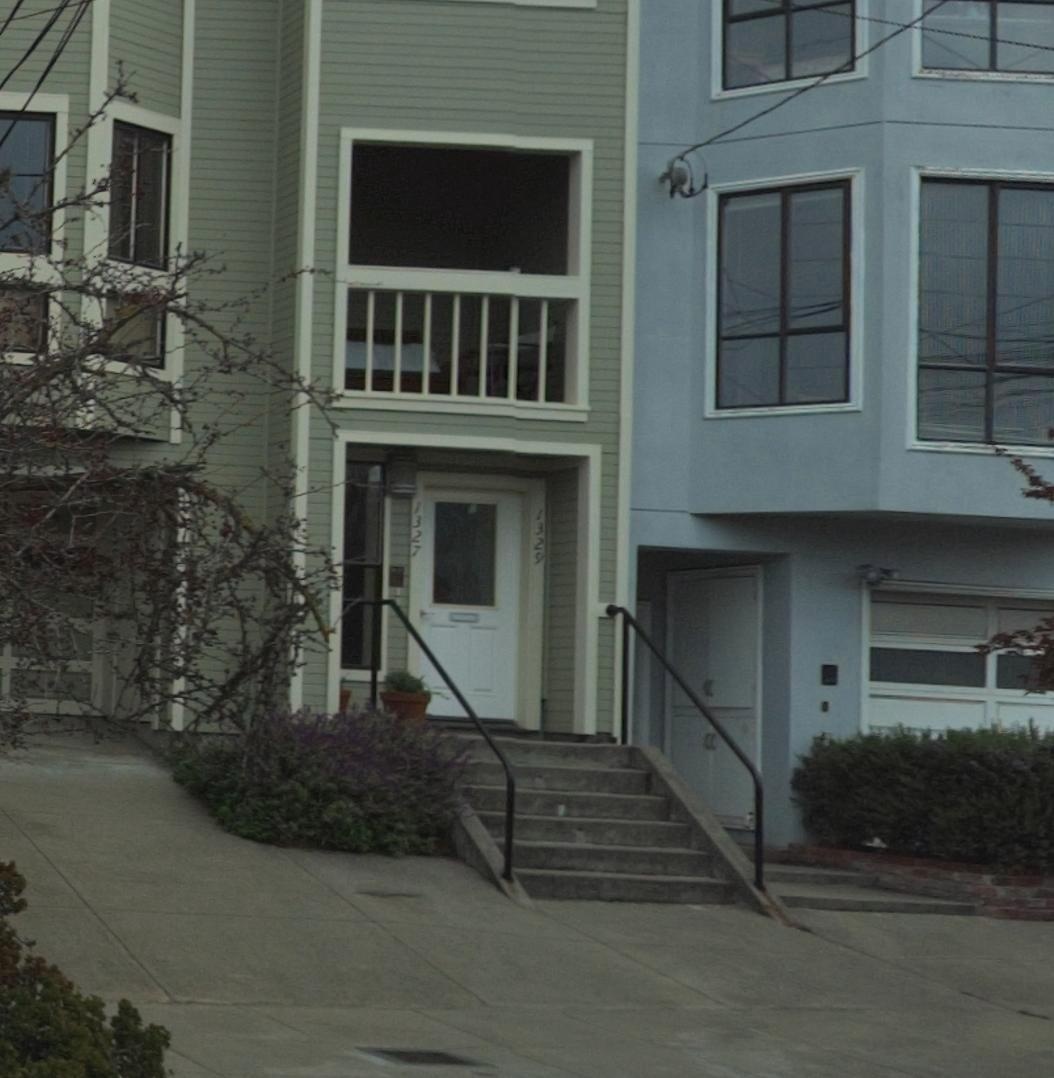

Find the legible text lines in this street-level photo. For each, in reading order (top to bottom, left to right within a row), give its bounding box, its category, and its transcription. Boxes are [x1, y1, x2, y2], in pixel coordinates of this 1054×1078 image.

[409, 501, 423, 557] StreetNumber: 1327
[533, 508, 546, 565] StreetNumber: 1329